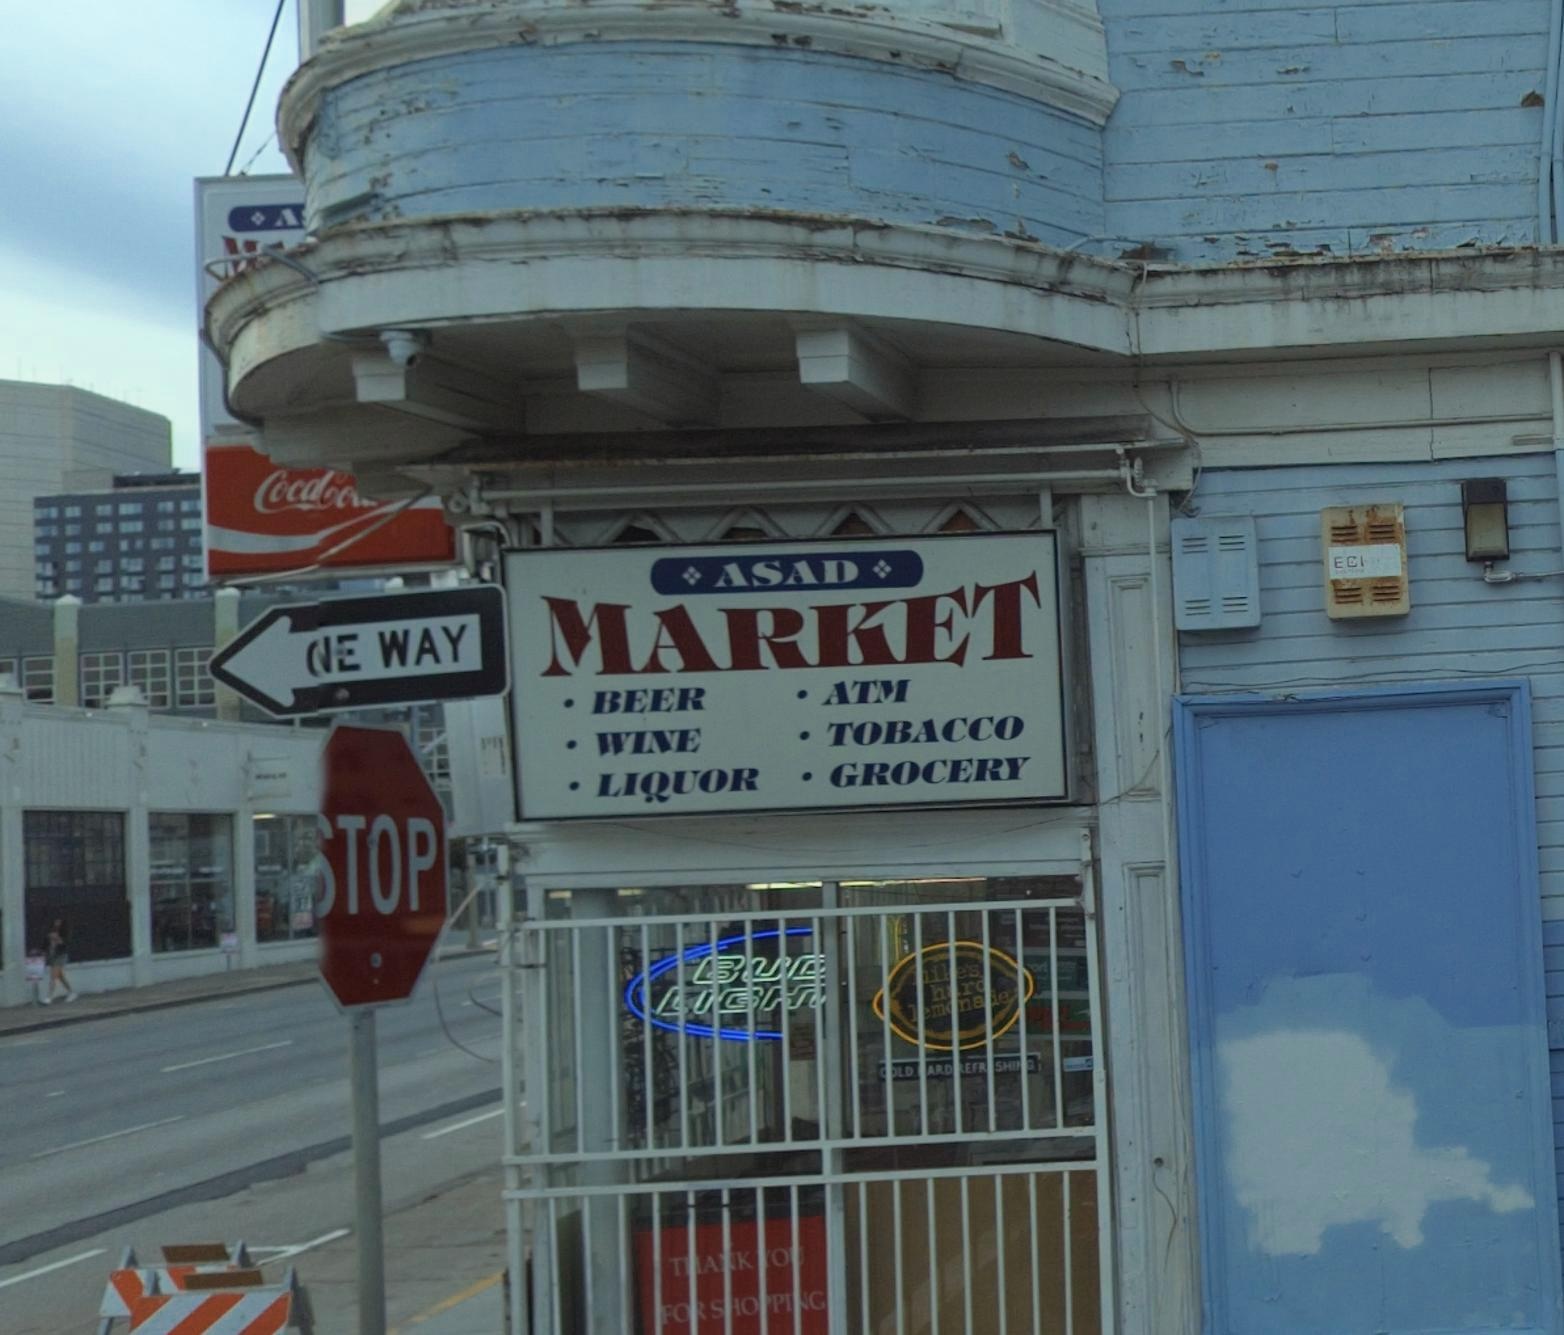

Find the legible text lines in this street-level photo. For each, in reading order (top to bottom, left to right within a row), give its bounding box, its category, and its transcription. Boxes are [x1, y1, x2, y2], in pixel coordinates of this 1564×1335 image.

[271, 205, 304, 230] BusinessName: A
[250, 465, 325, 518] None: Coca
[706, 555, 863, 590] BusinessName: ASAD
[1332, 552, 1367, 571] None: ECI
[535, 564, 1046, 681] BusinessName: MARKET
[372, 619, 472, 675] None: WAY
[586, 683, 711, 719] None: BEER
[817, 676, 914, 710] None: ATM
[590, 724, 705, 761] None: WINE
[822, 711, 1028, 750] None: TOBACCO
[593, 763, 763, 806] None: LIQUOR
[826, 753, 1036, 791] None: GROCERY
[333, 810, 441, 917] None: TOP
[927, 959, 983, 985] None: i*e's
[691, 986, 717, 1017] None: I
[926, 977, 978, 1006] None: h*r
[905, 986, 1012, 1026] None: l*m*n**e